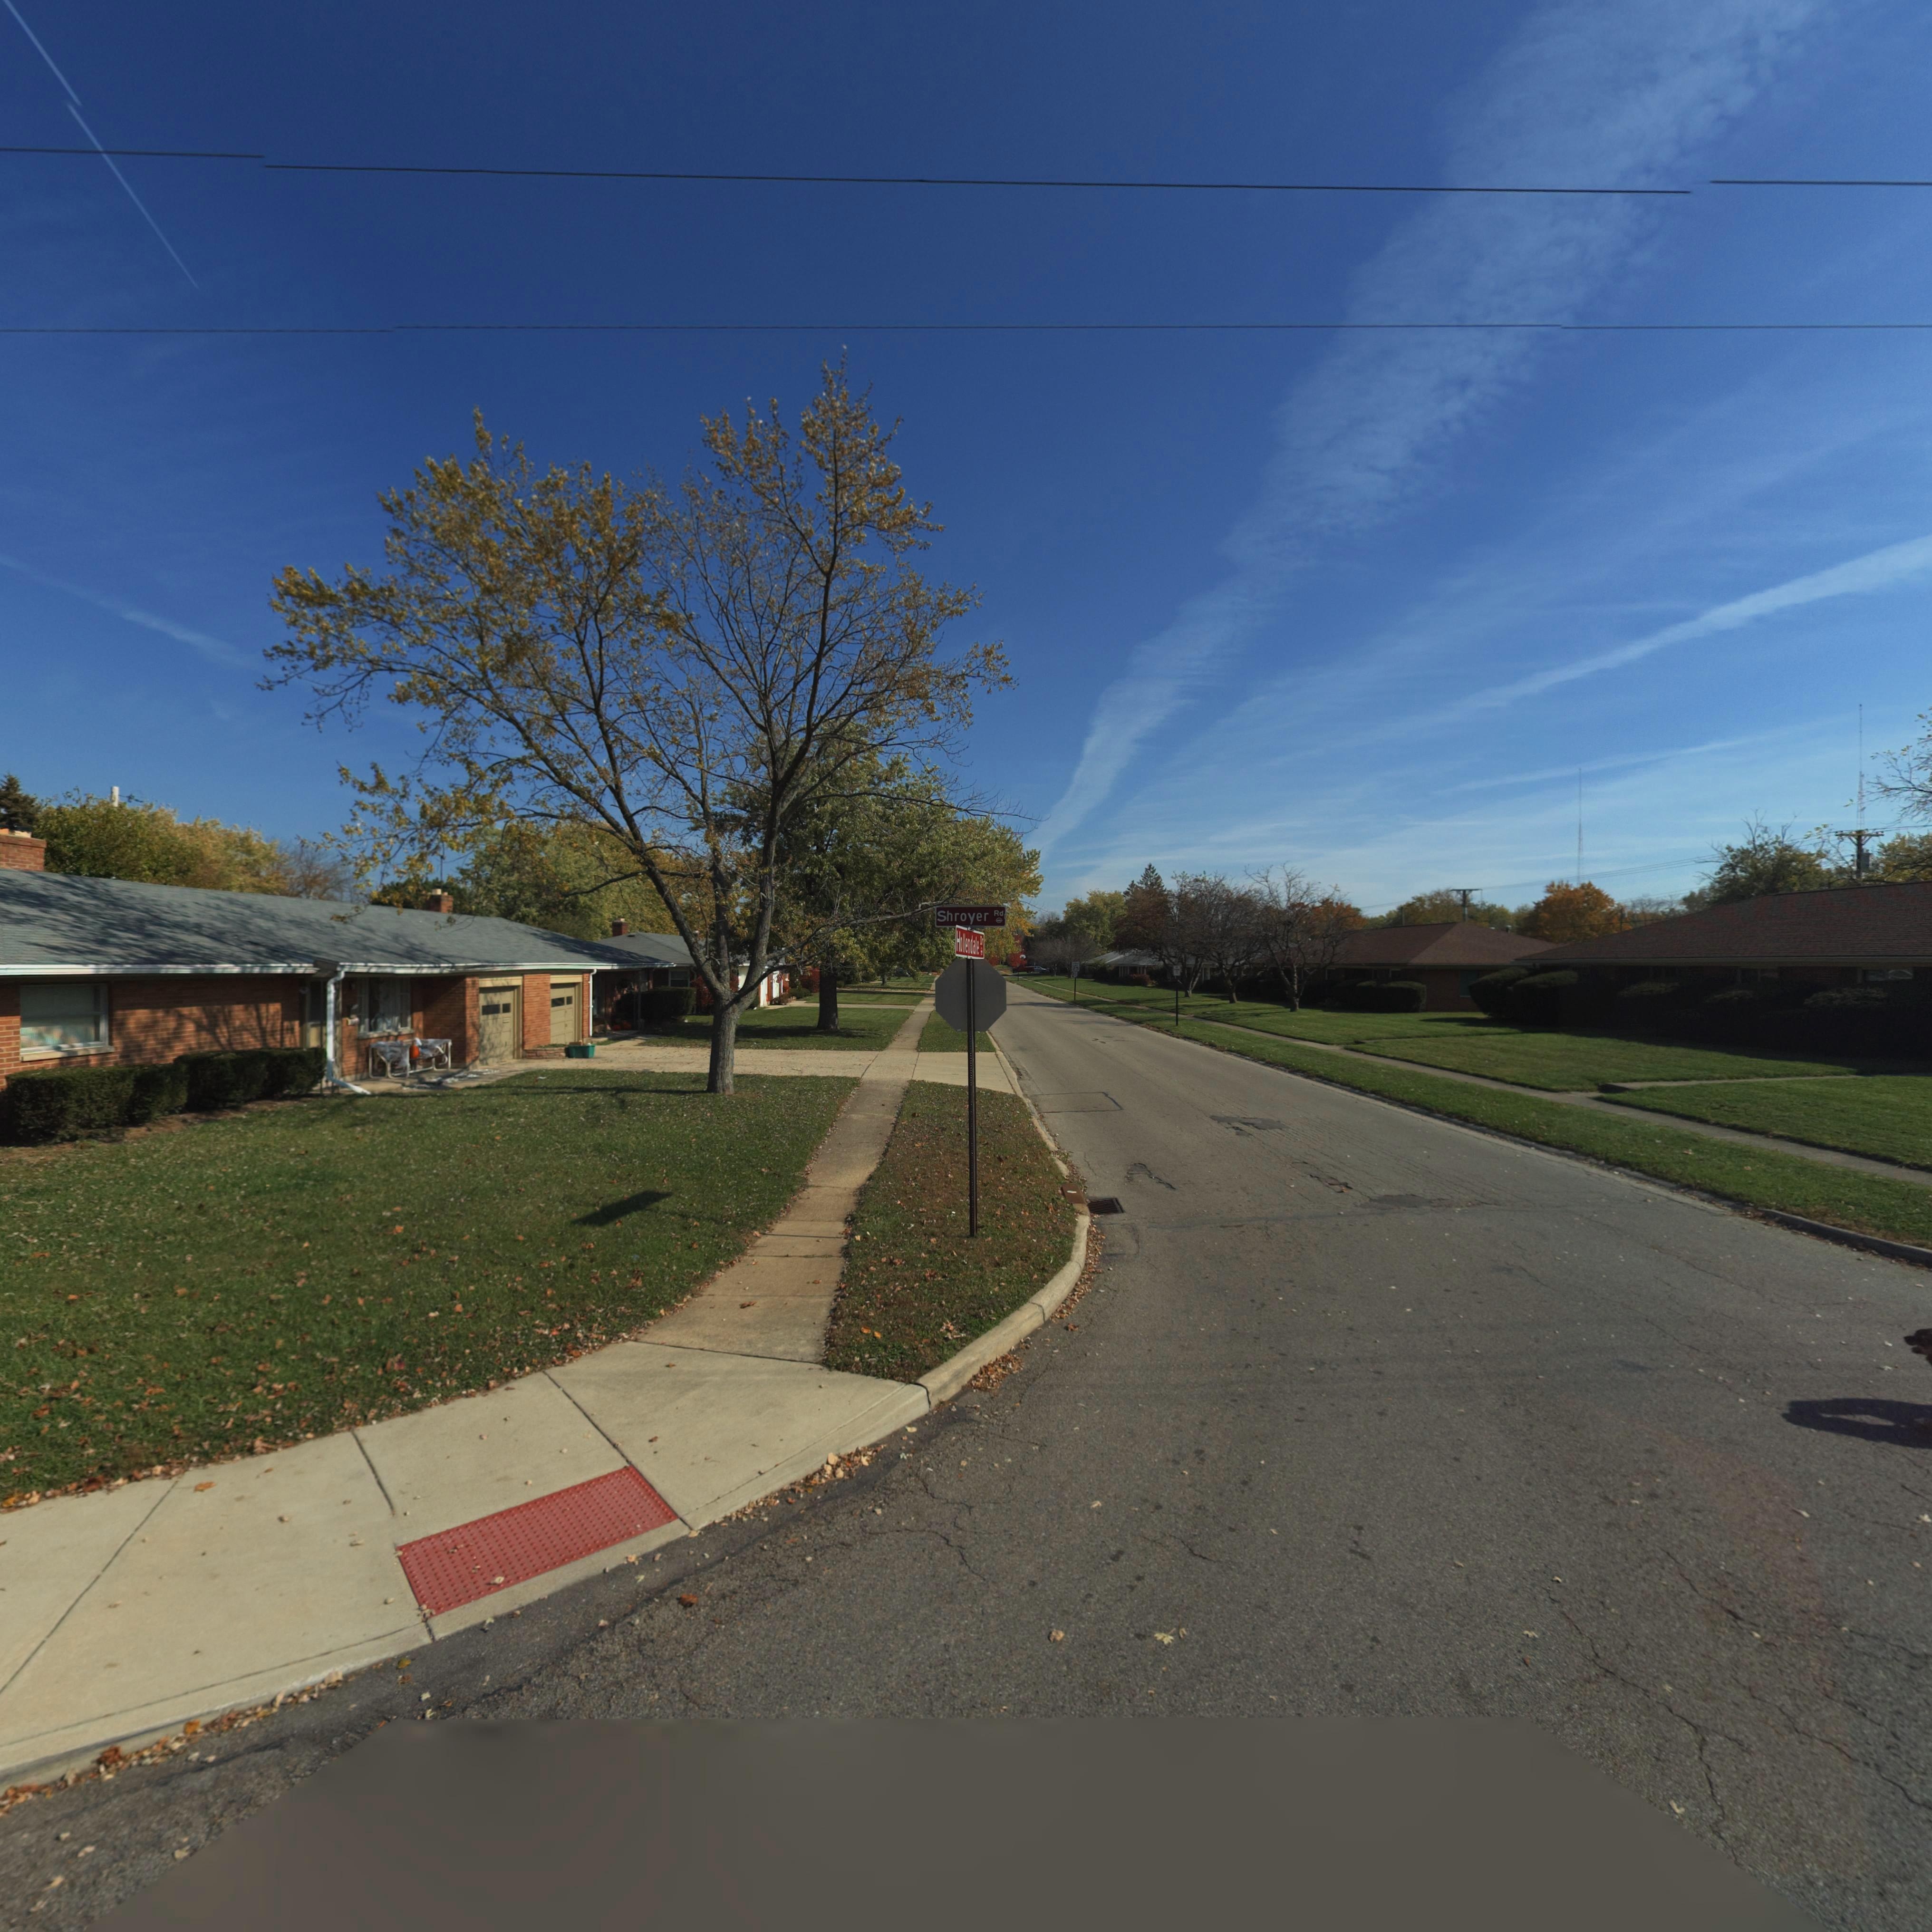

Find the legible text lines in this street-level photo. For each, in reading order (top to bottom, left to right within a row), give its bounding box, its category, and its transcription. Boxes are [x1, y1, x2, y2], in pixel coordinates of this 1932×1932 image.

[937, 910, 1004, 925] StreetName: Shroyer Rd
[956, 930, 984, 956] StreetName: Hollendale Dr
[1072, 966, 1079, 971] None: 25